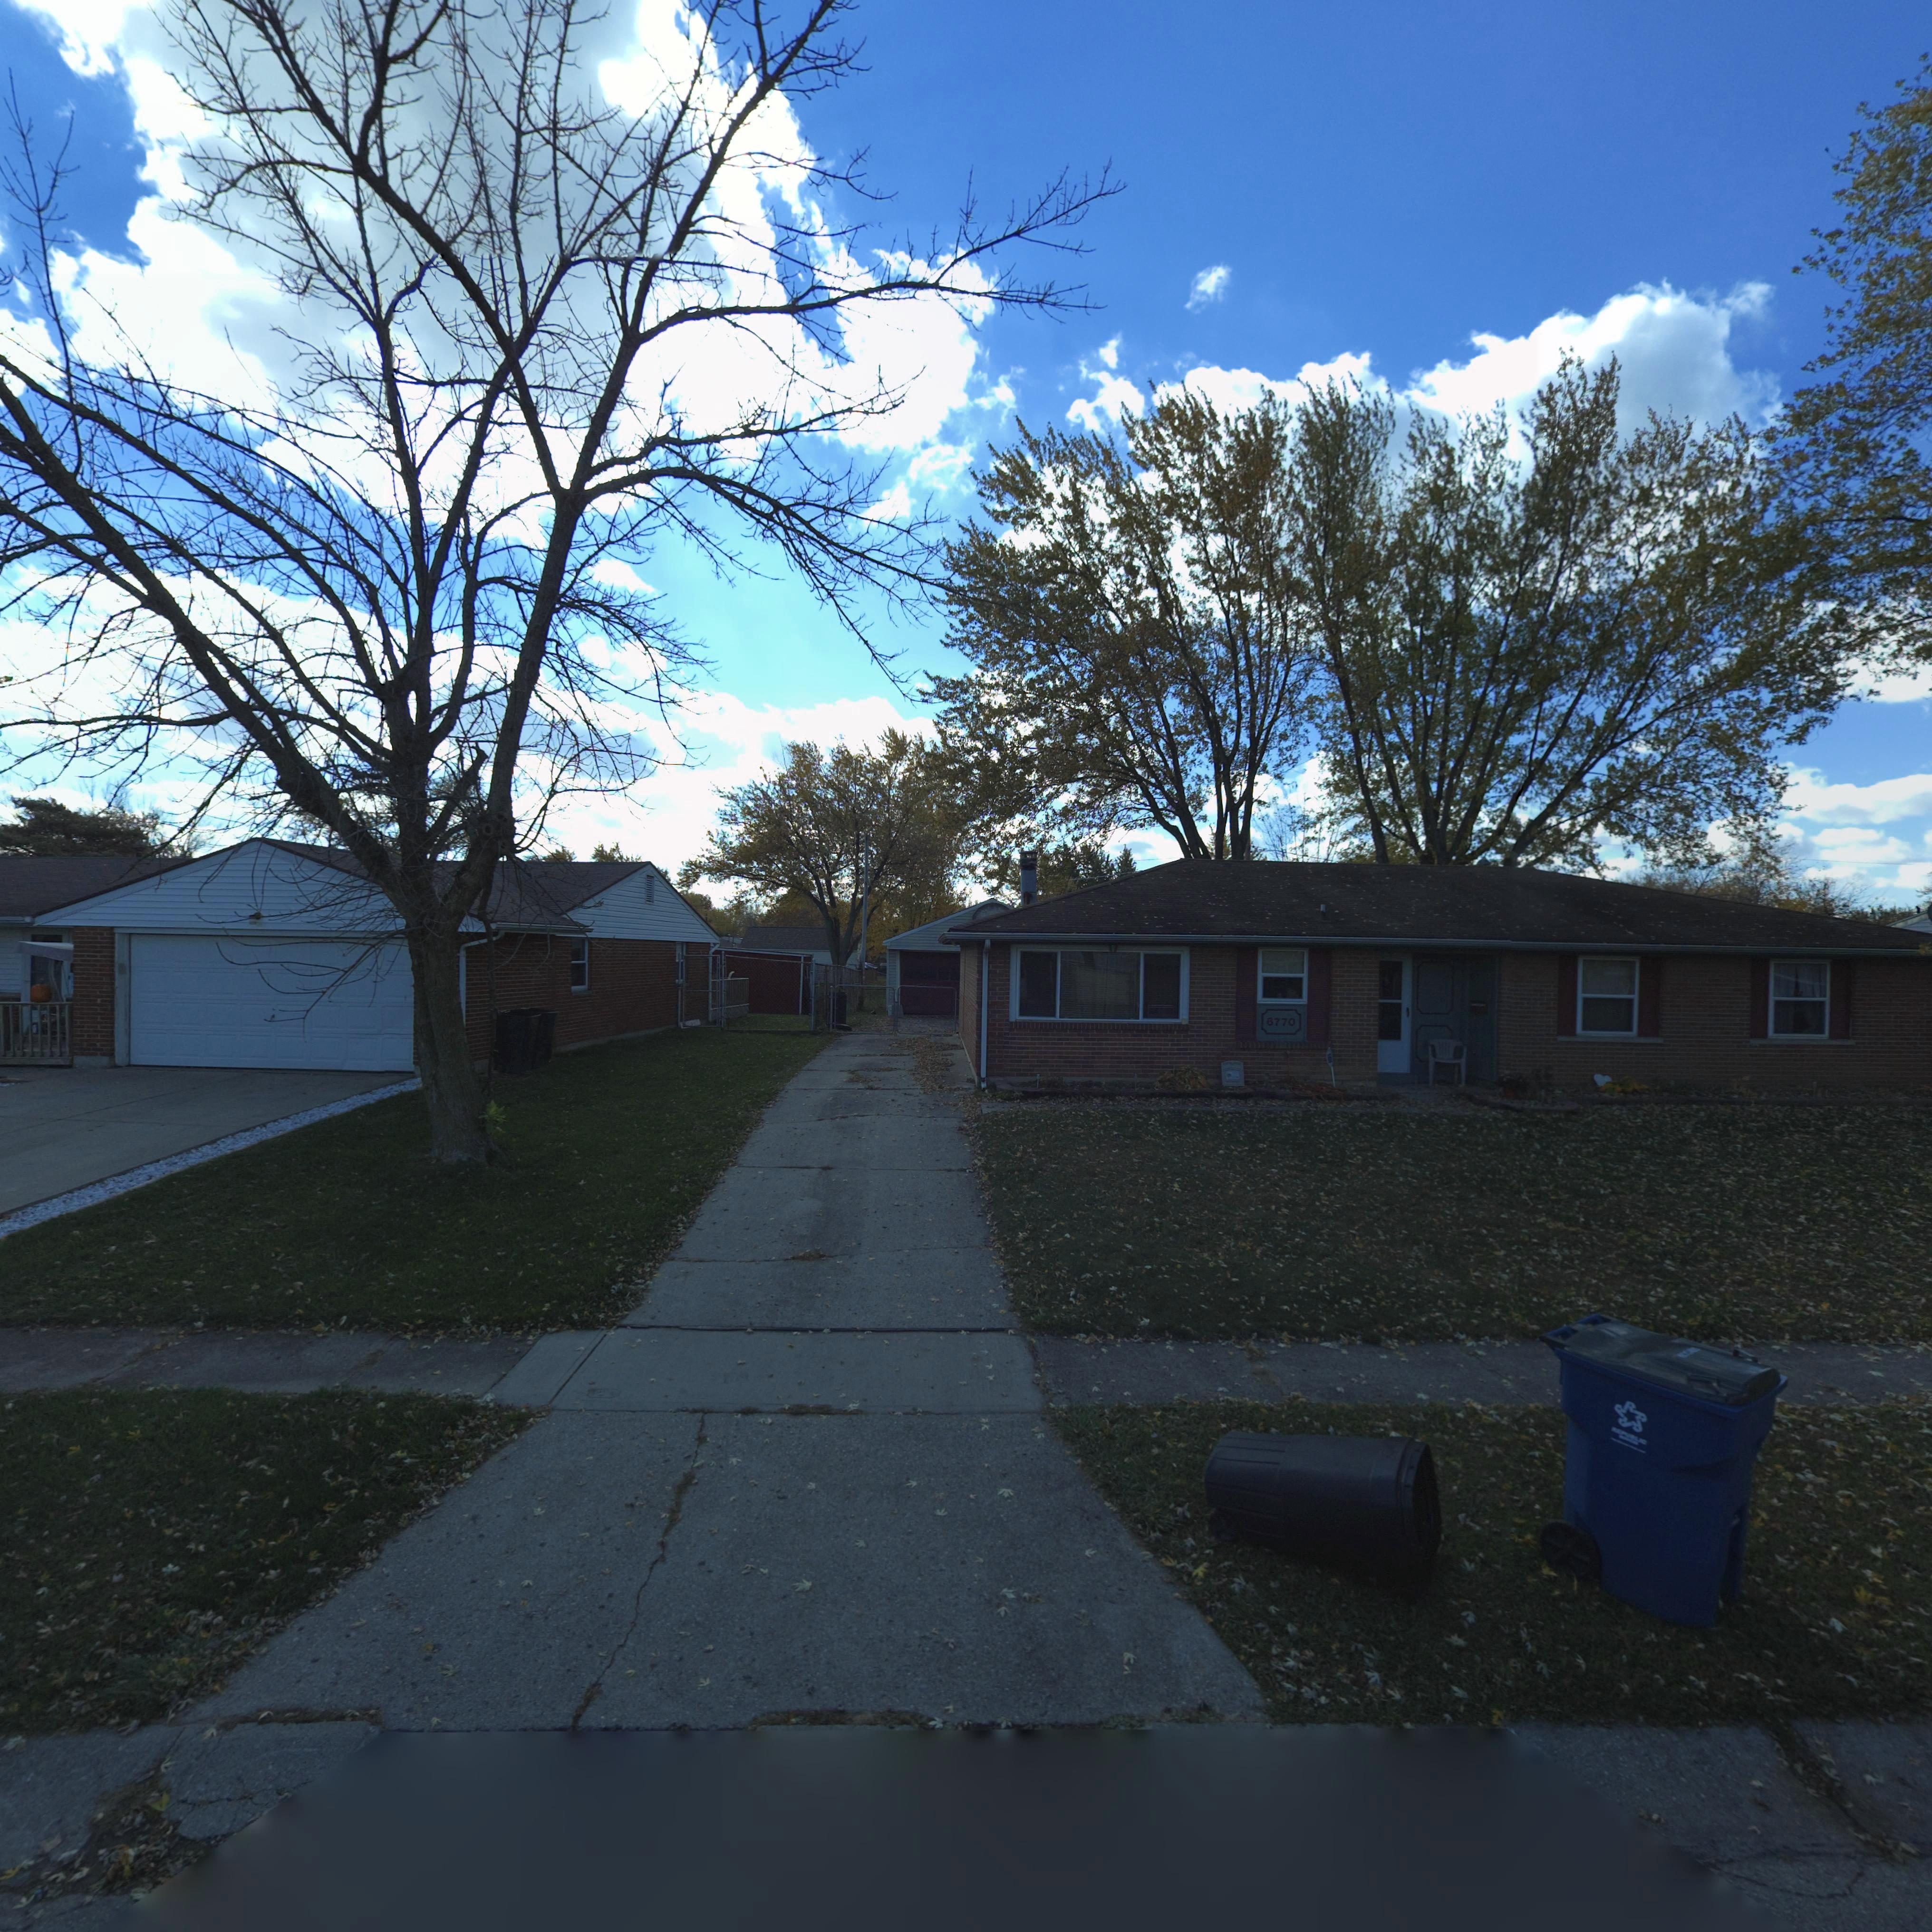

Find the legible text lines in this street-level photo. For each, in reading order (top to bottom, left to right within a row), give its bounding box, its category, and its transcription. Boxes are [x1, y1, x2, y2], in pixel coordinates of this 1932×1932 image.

[1266, 1017, 1296, 1027] StreetNumber: 6770